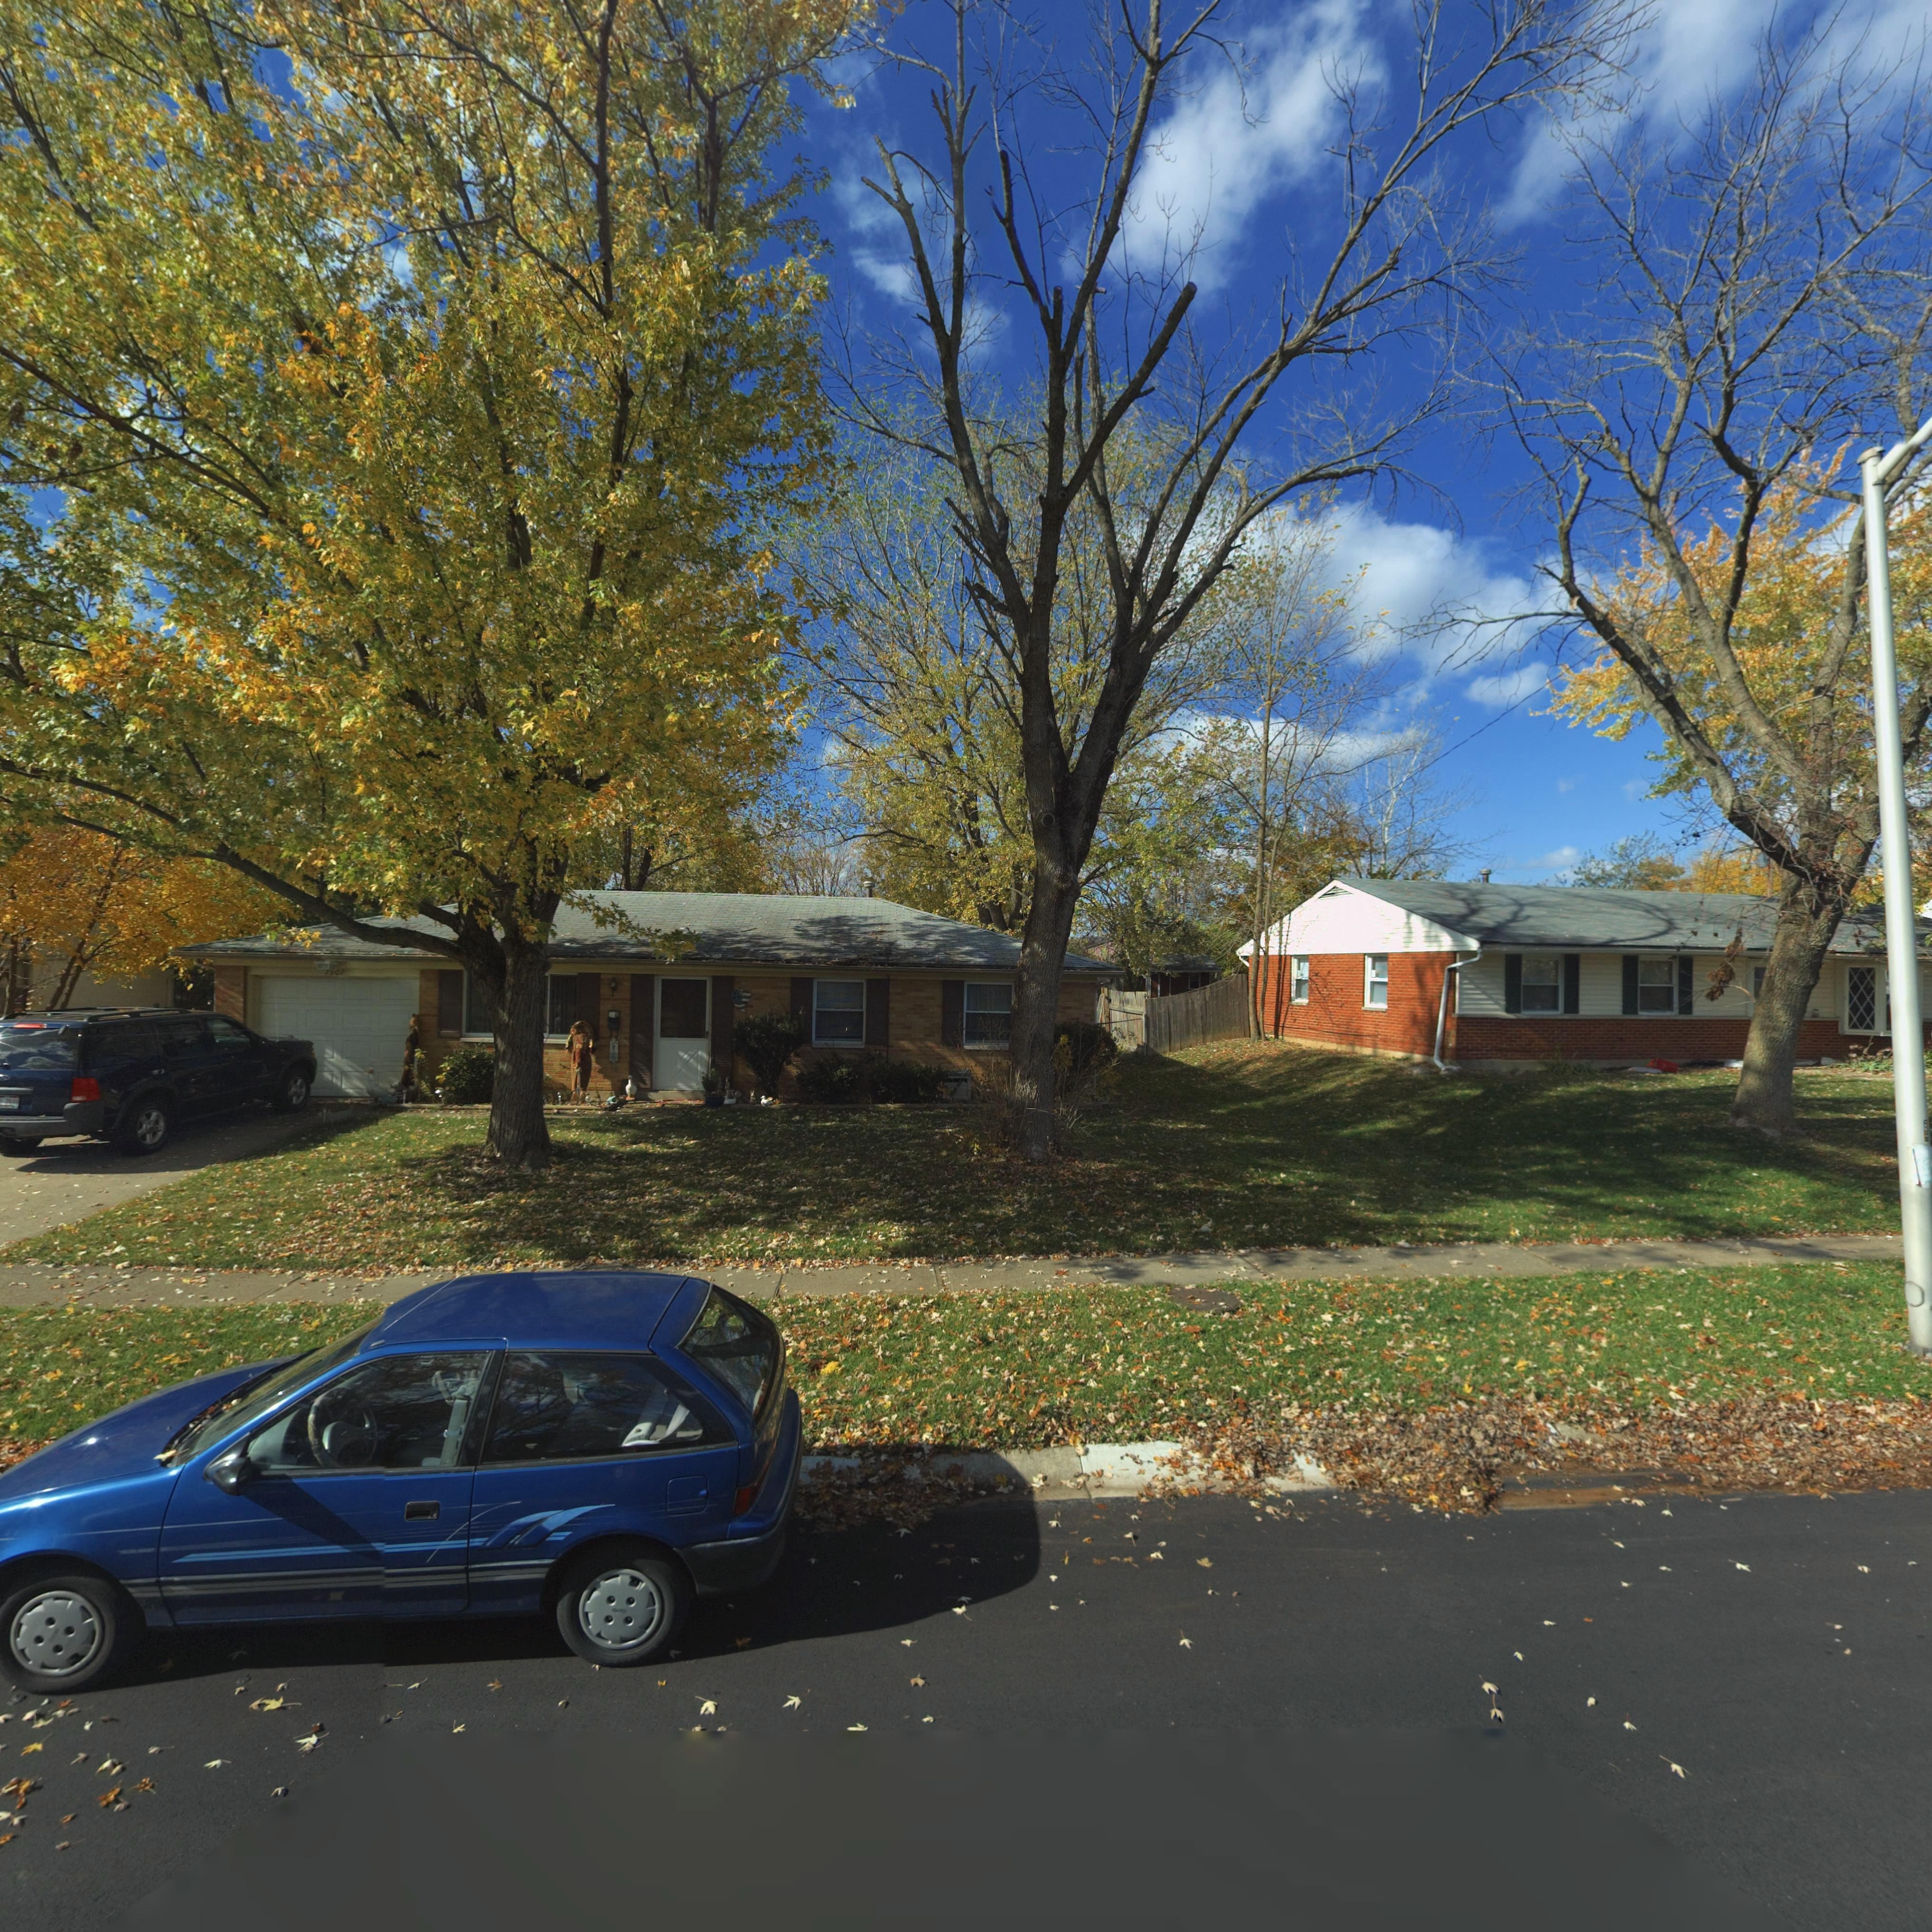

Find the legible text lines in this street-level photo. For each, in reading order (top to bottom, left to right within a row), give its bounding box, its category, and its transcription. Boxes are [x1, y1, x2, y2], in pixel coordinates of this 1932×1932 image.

[324, 968, 345, 976] StreetNumber: 7507